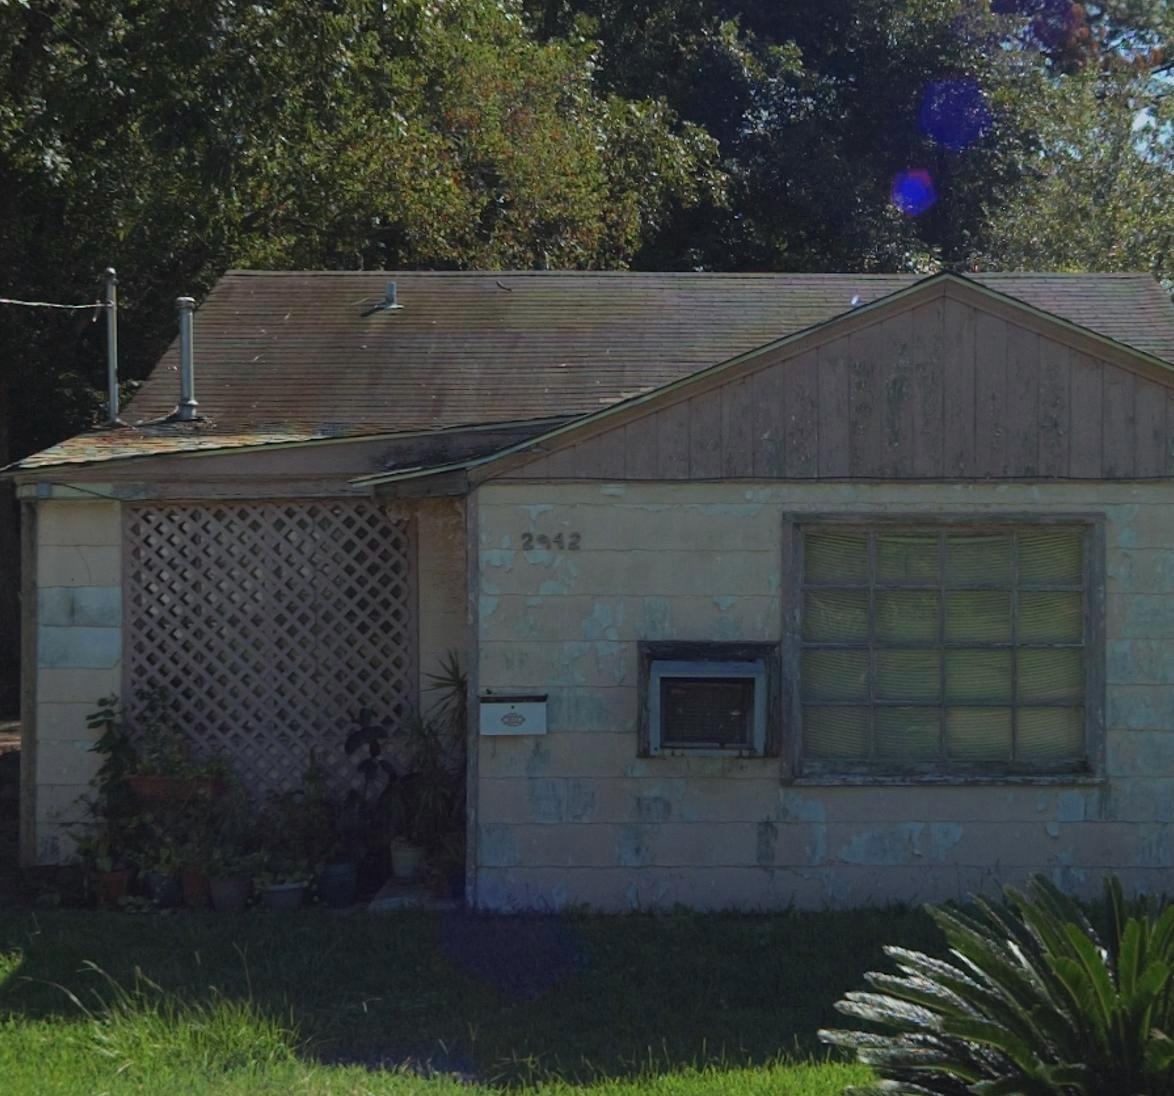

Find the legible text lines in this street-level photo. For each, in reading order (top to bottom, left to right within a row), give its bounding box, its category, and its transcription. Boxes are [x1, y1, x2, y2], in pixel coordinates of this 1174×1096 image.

[520, 530, 583, 552] StreetNumber: 2942